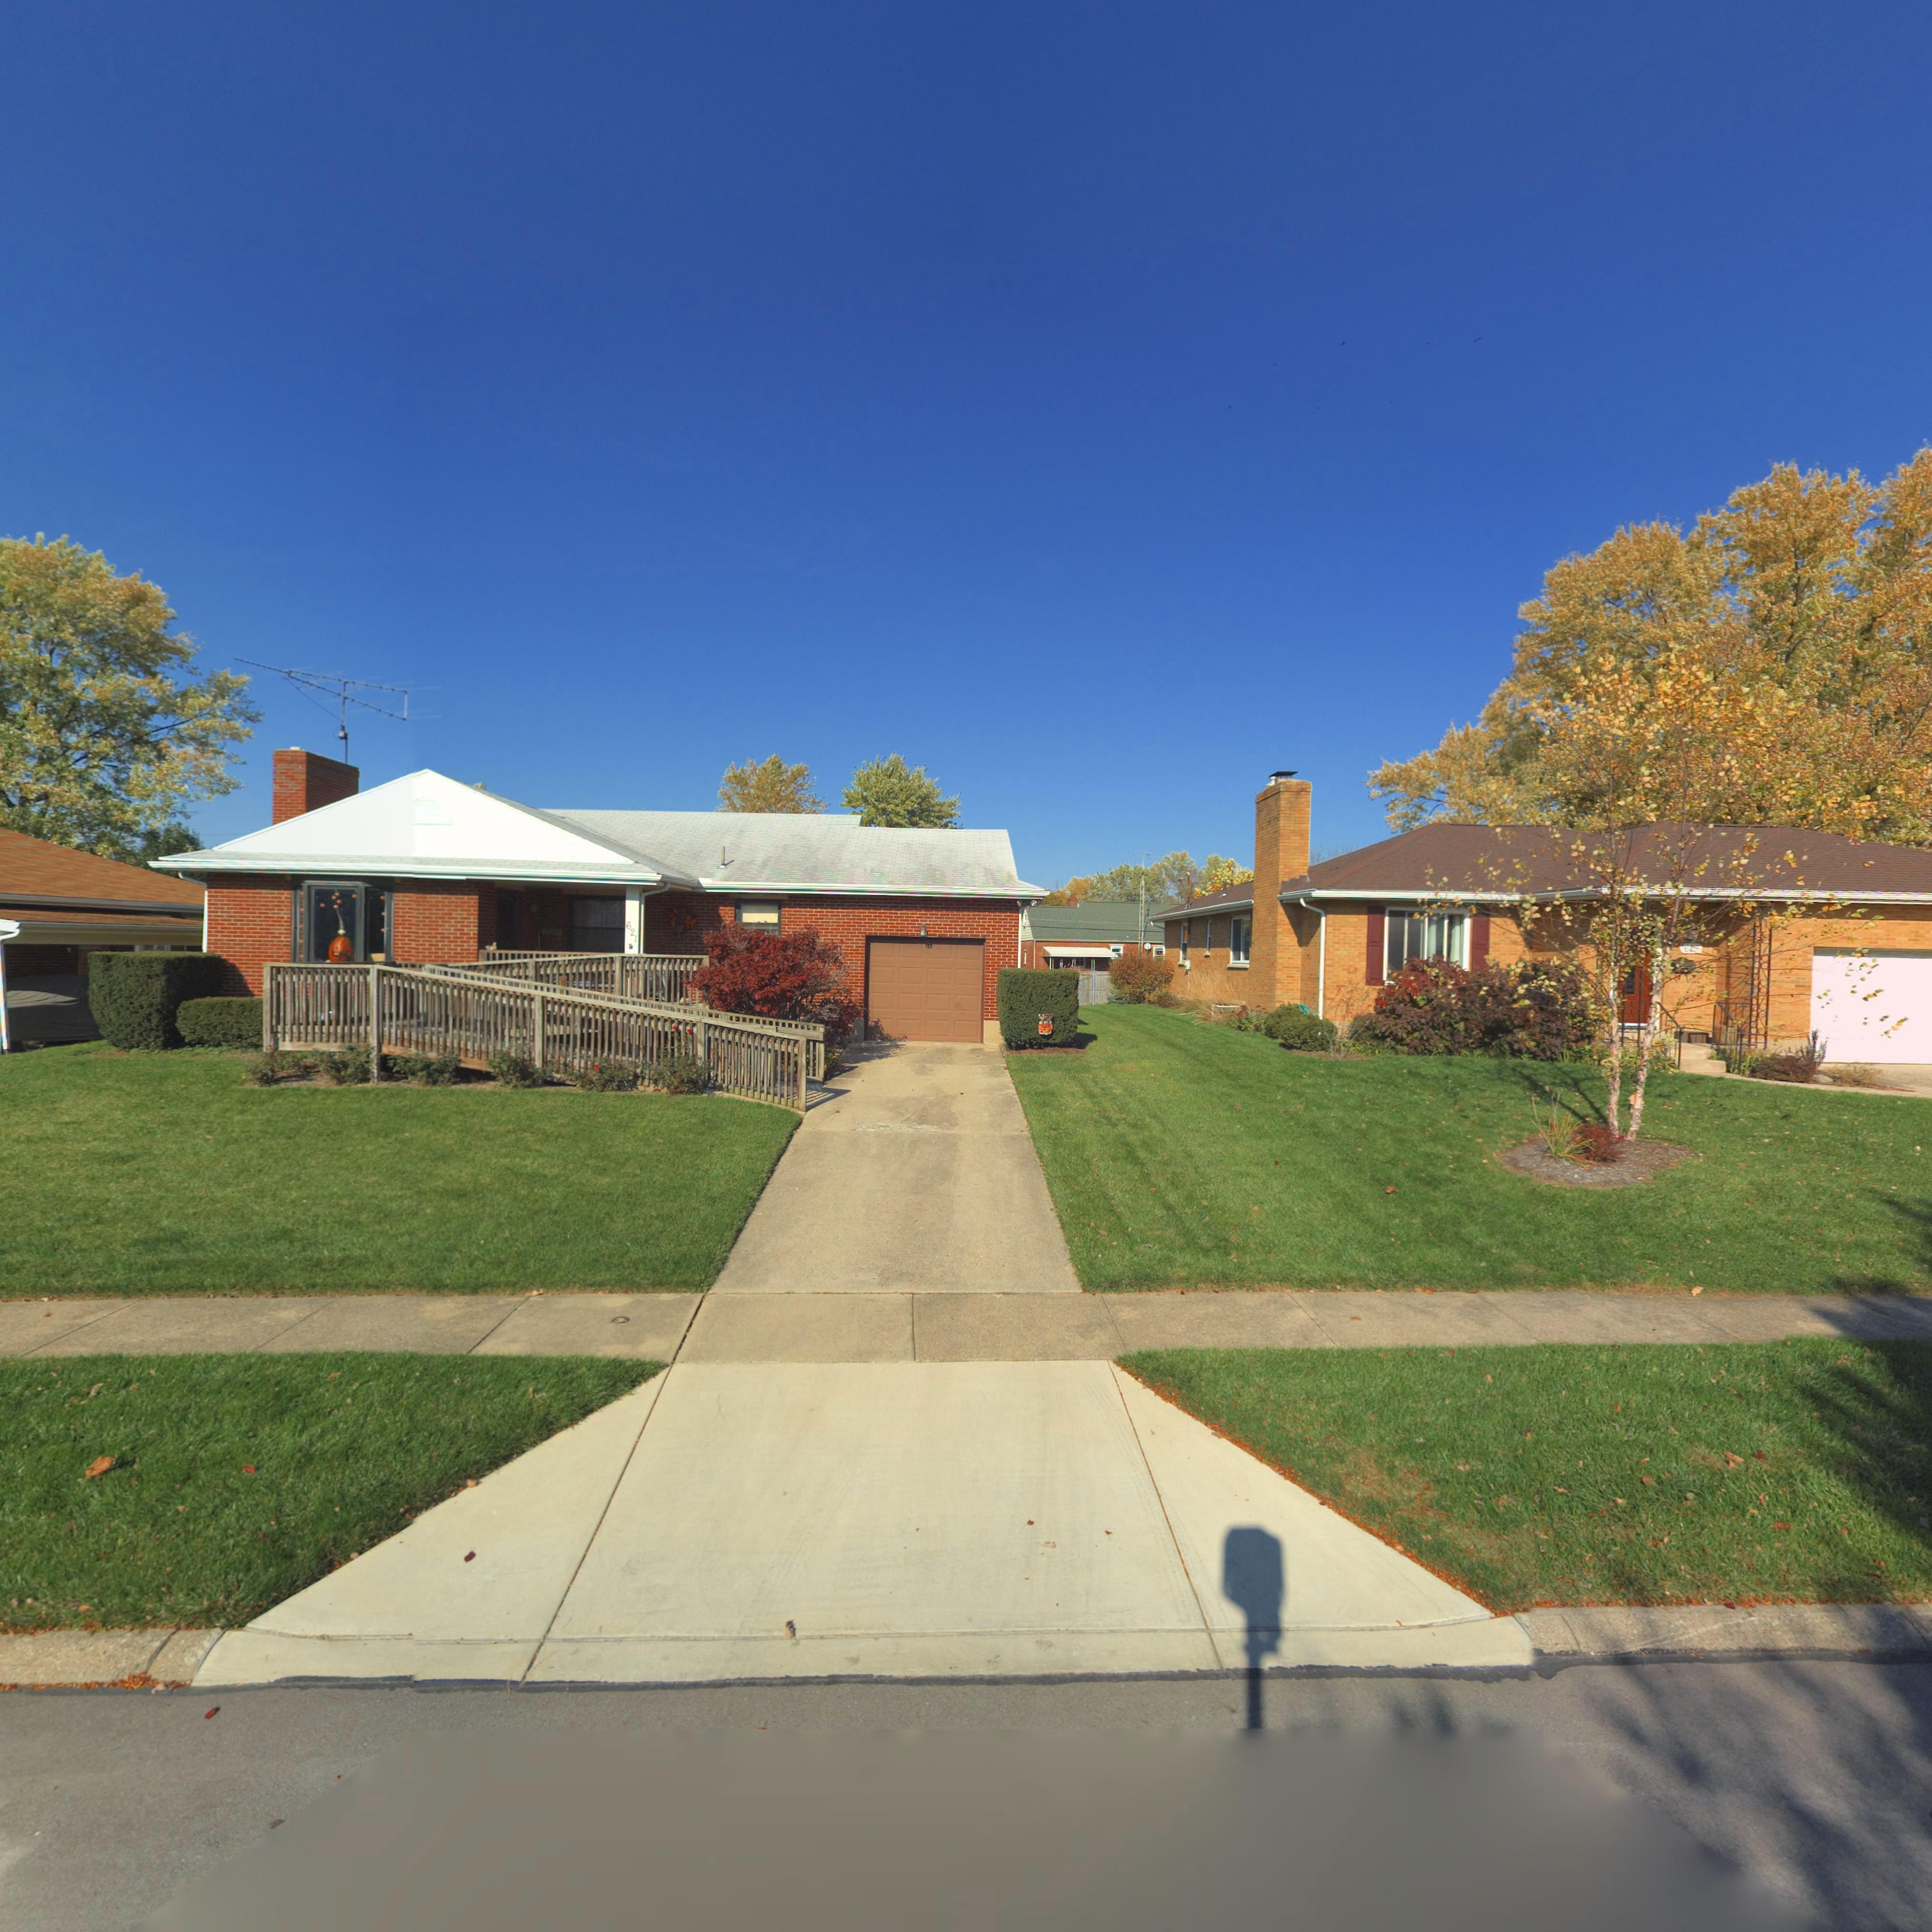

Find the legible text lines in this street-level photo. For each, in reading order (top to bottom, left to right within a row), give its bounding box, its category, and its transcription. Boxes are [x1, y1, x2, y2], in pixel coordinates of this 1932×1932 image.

[625, 920, 638, 944] StreetNumber: 621
[1683, 944, 1700, 954] StreetNumber: 625